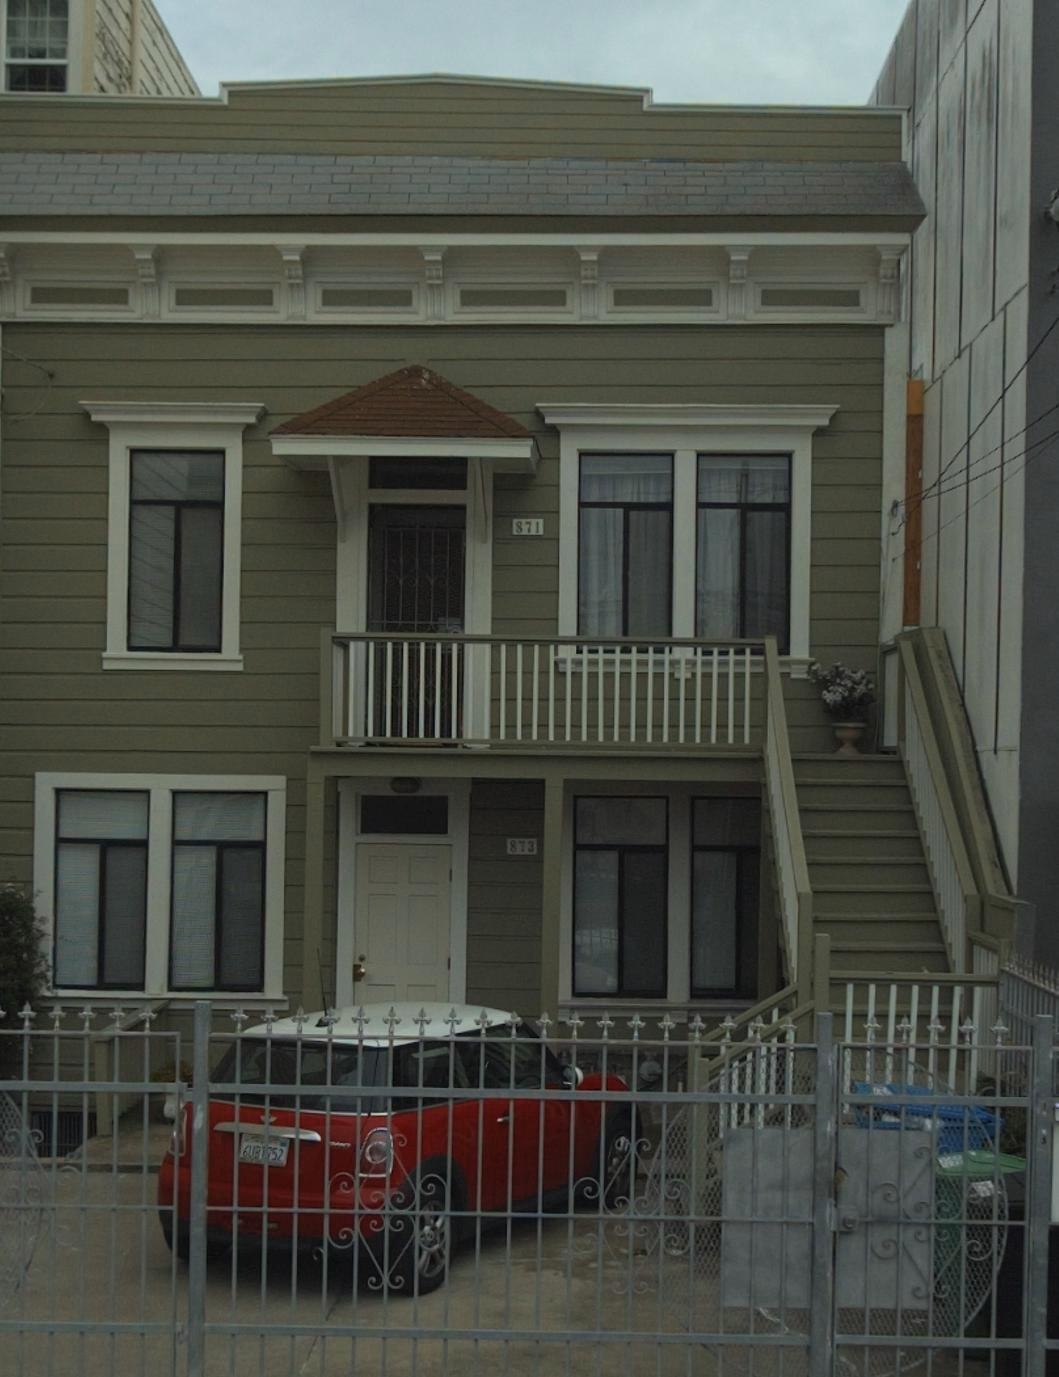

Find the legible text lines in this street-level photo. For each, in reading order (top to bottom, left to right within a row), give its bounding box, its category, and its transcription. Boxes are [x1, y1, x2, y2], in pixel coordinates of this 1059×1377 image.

[514, 519, 542, 535] StreetNumber: 871
[509, 839, 536, 853] StreetNumber: 873
[240, 1143, 285, 1163] None: 6UB*752